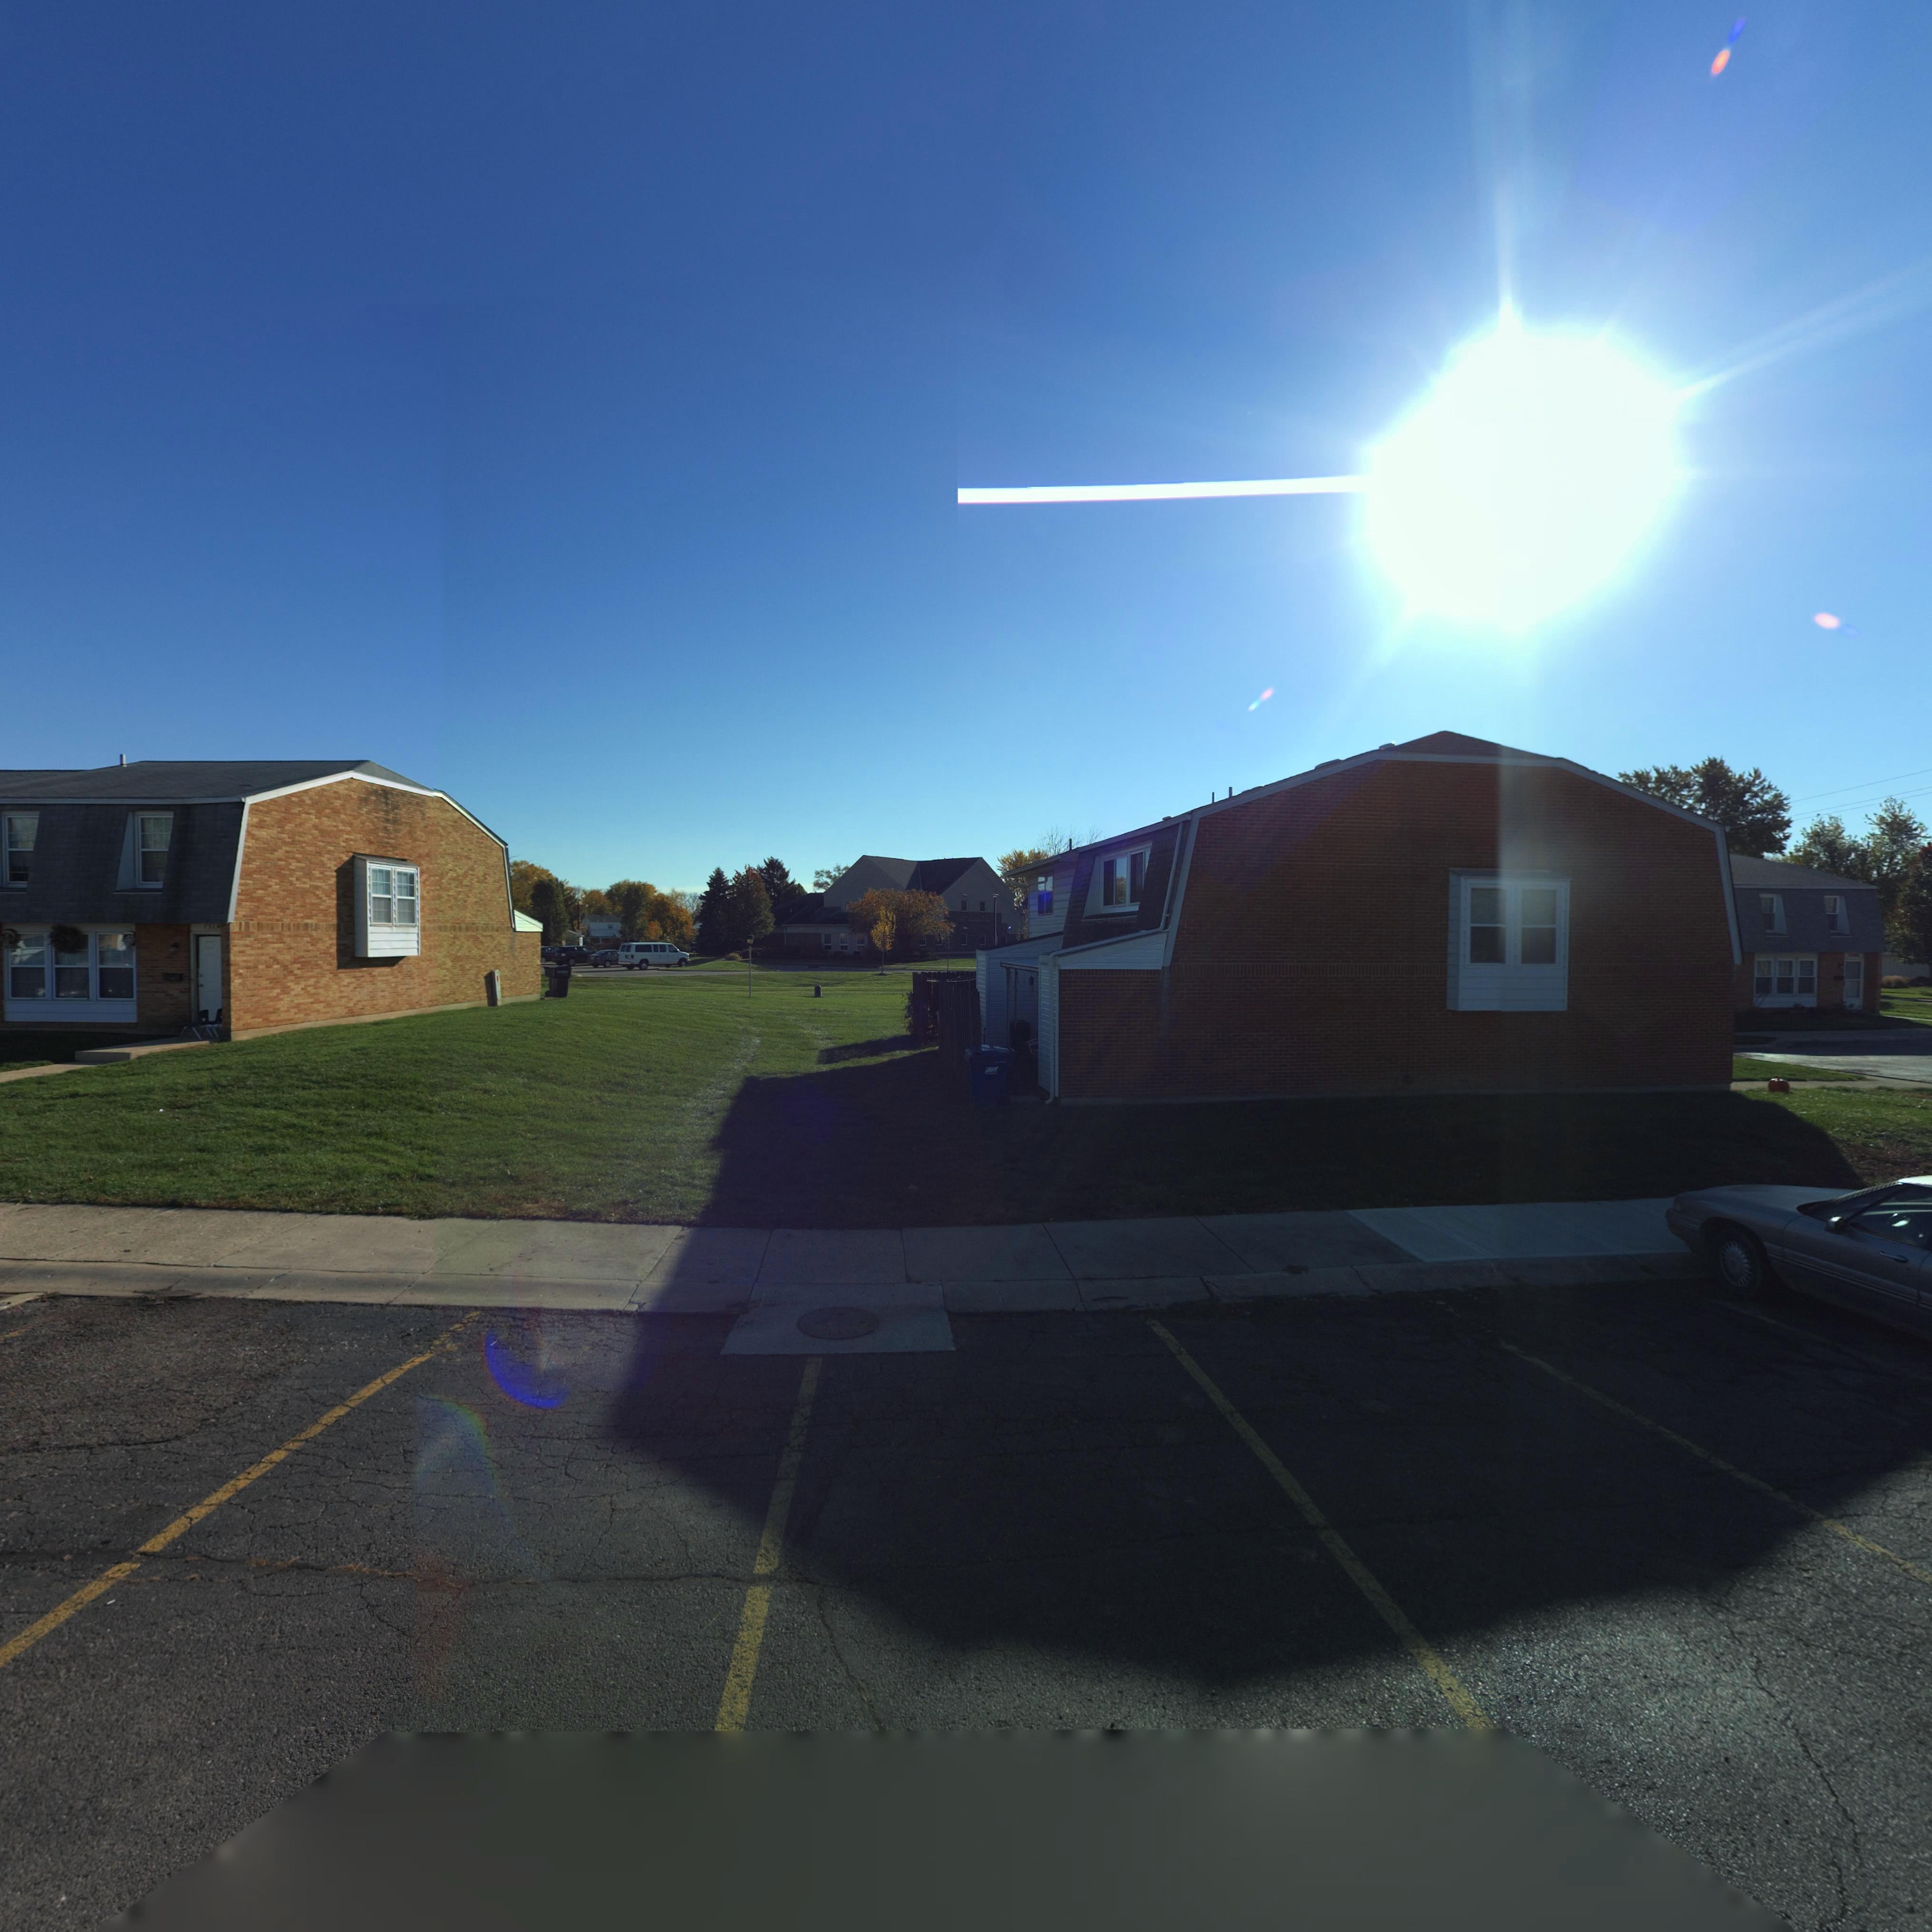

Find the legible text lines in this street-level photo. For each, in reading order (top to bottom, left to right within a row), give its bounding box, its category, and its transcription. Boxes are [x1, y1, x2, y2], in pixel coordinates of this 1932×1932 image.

[203, 923, 221, 929] StreetNumber: 7*16